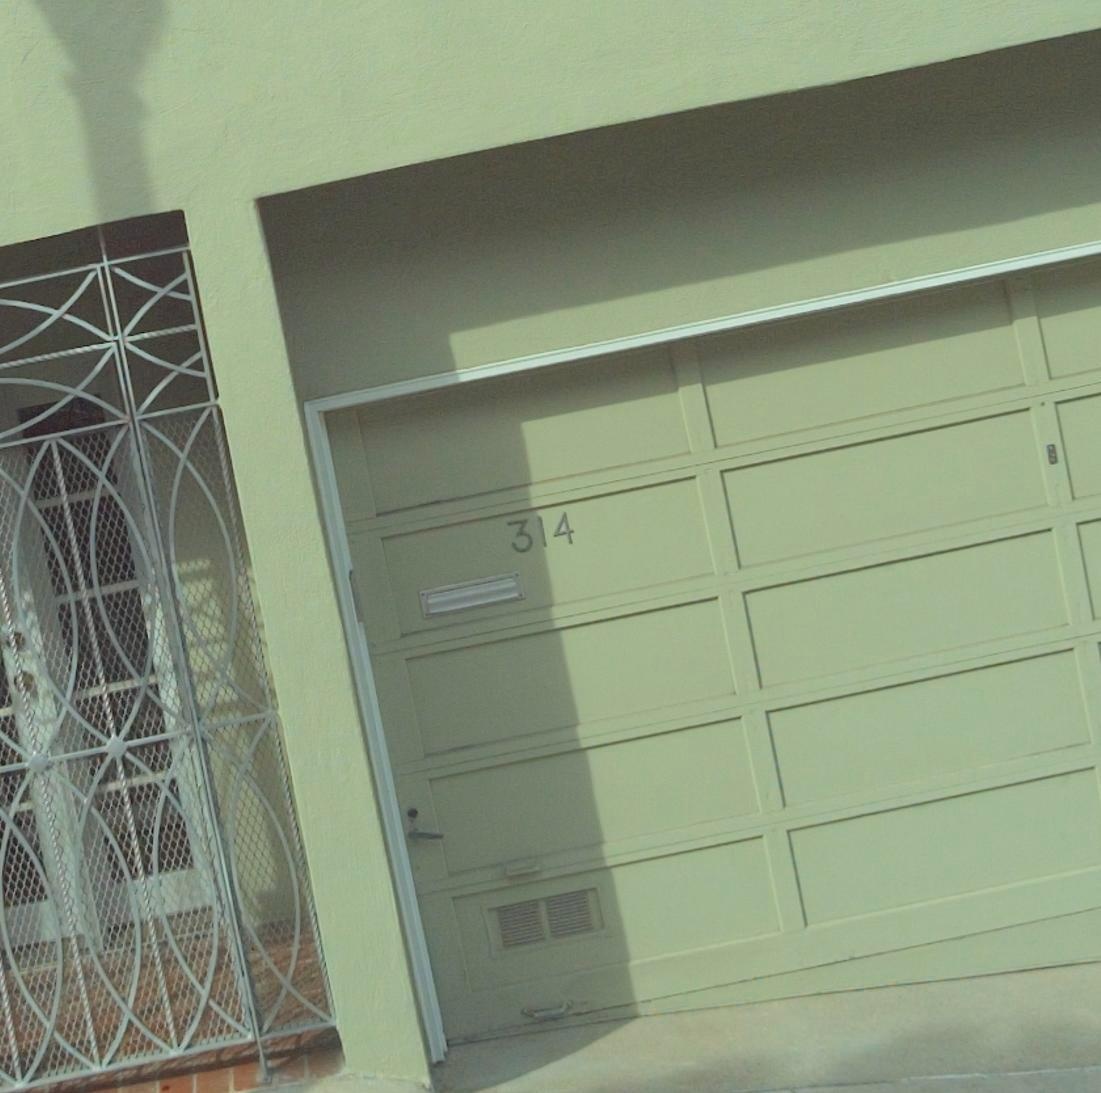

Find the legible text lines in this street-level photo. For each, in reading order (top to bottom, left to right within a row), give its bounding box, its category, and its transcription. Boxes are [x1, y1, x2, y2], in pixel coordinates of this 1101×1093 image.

[505, 509, 582, 554] StreetNumber: 314